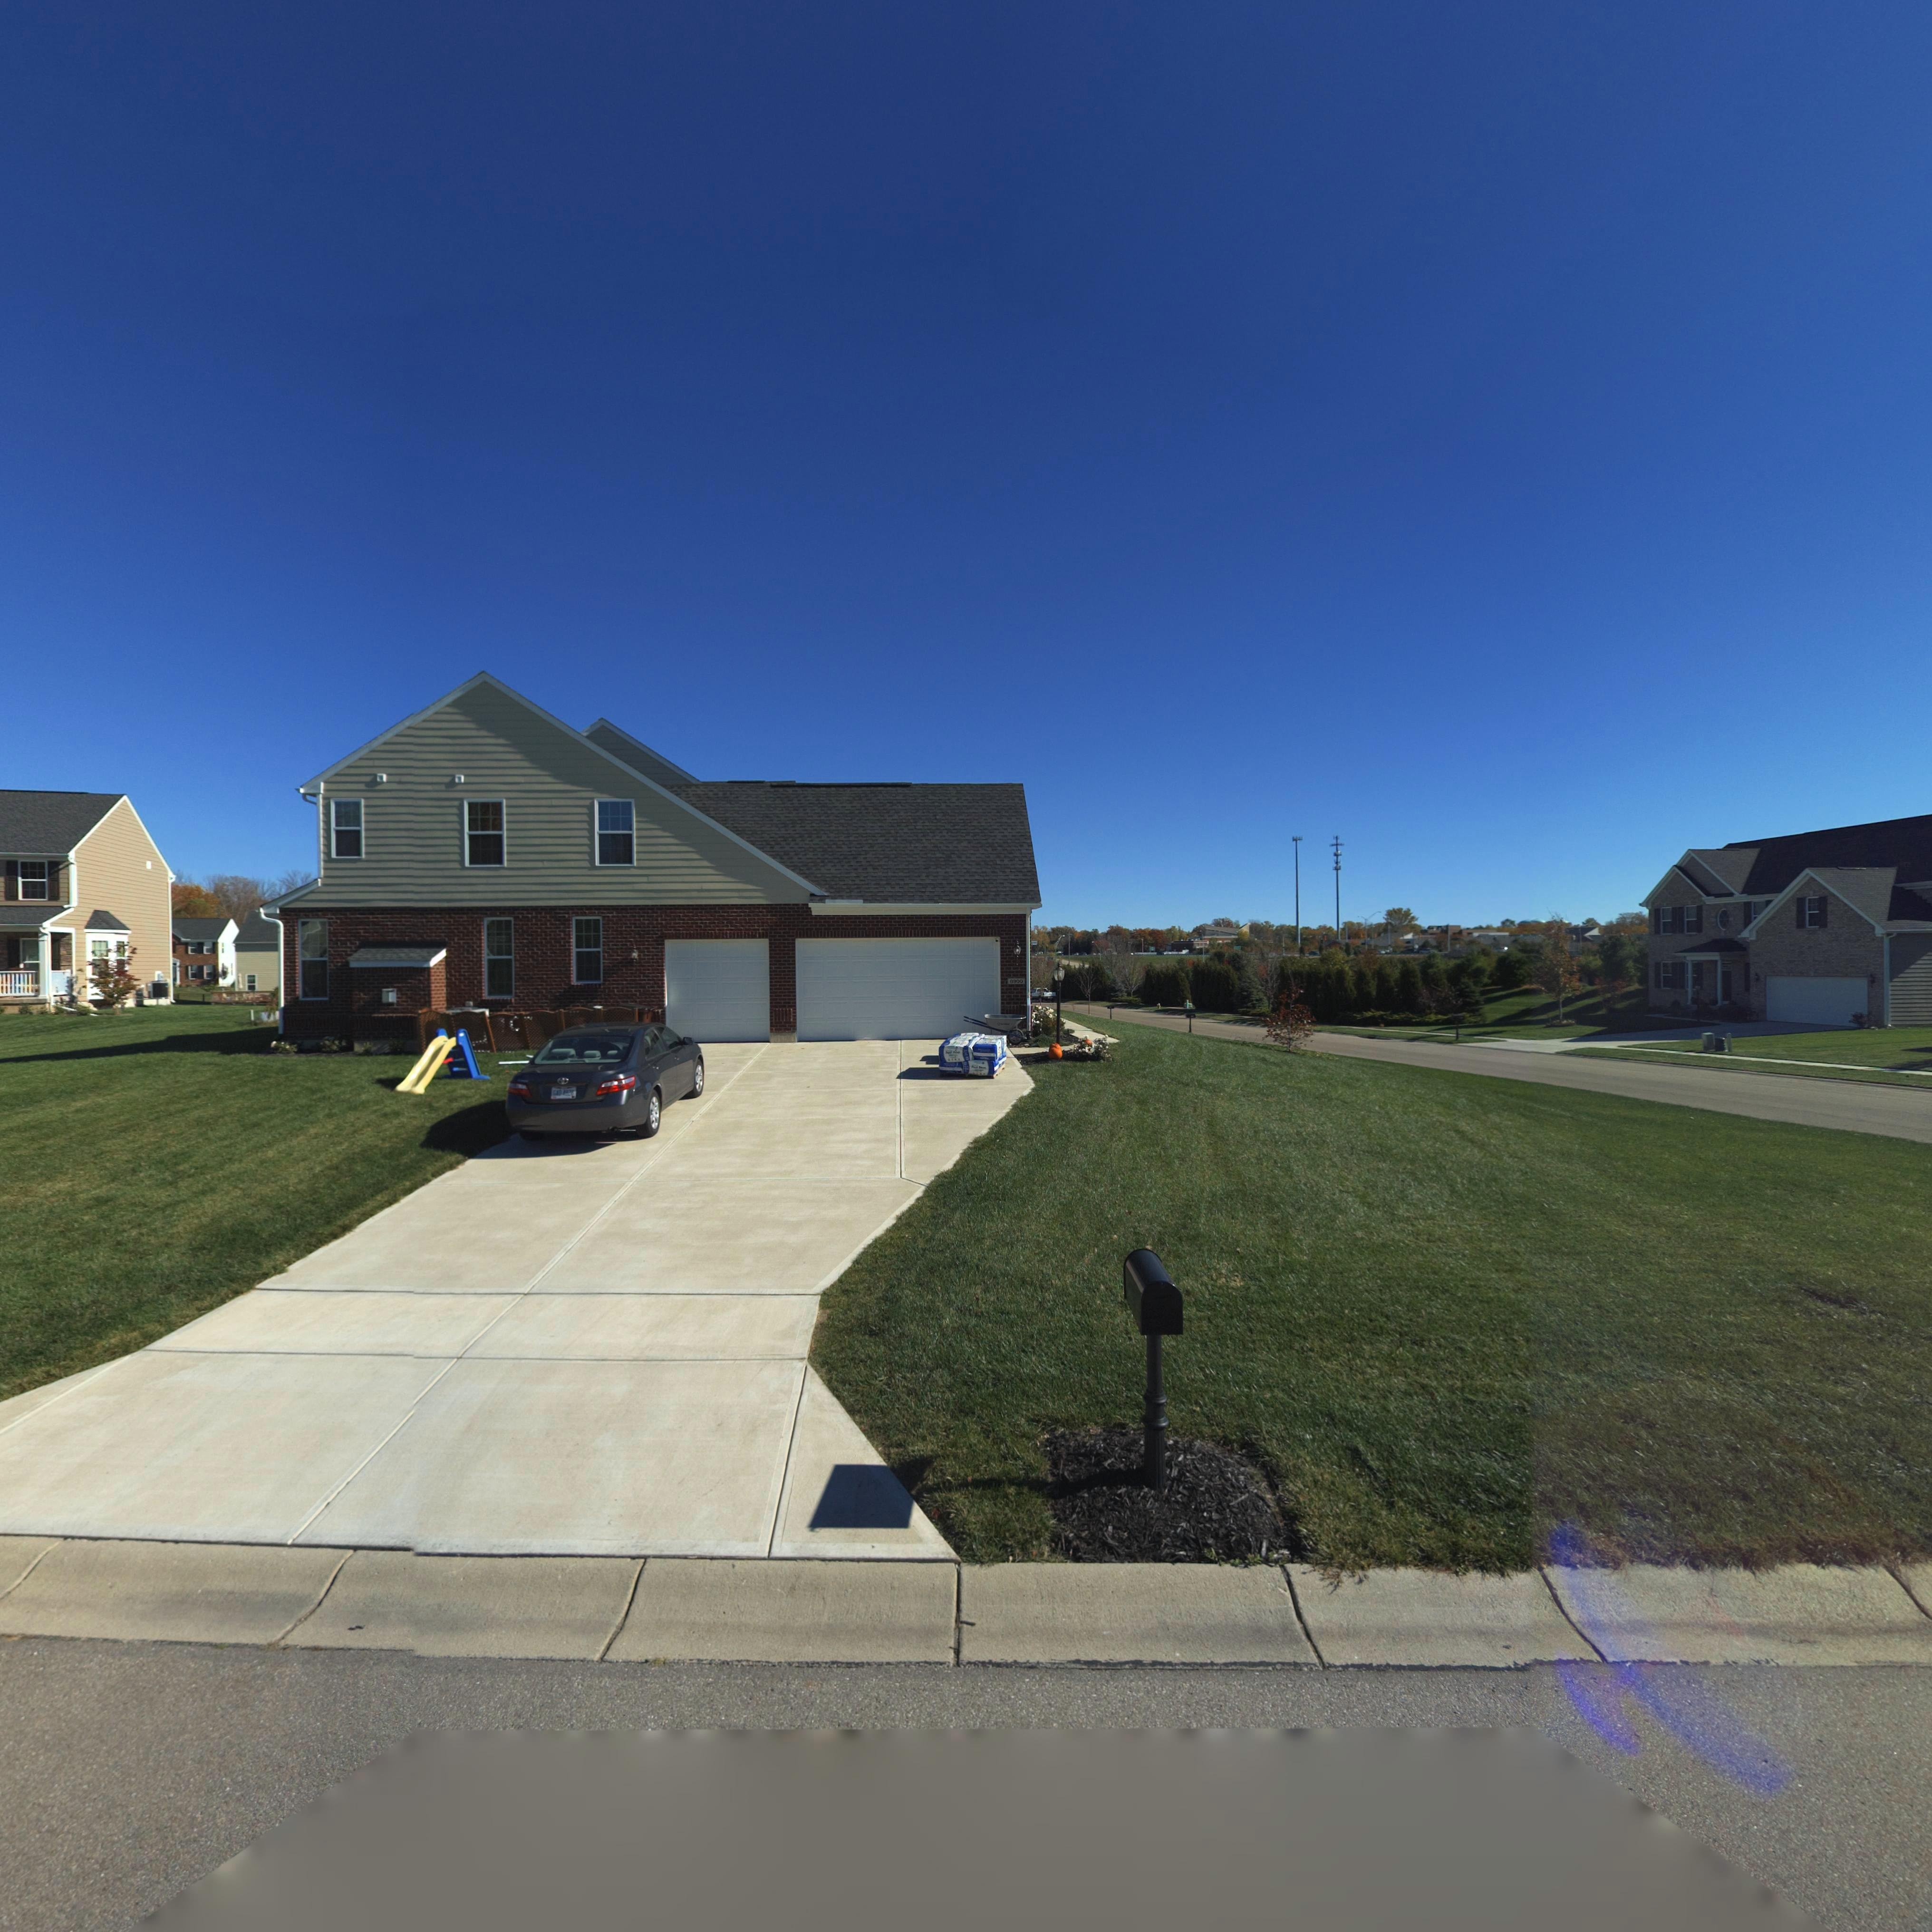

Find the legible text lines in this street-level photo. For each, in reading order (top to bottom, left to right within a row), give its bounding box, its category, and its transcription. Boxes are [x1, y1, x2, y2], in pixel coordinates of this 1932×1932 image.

[1009, 978, 1024, 984] StreetNumber: *900